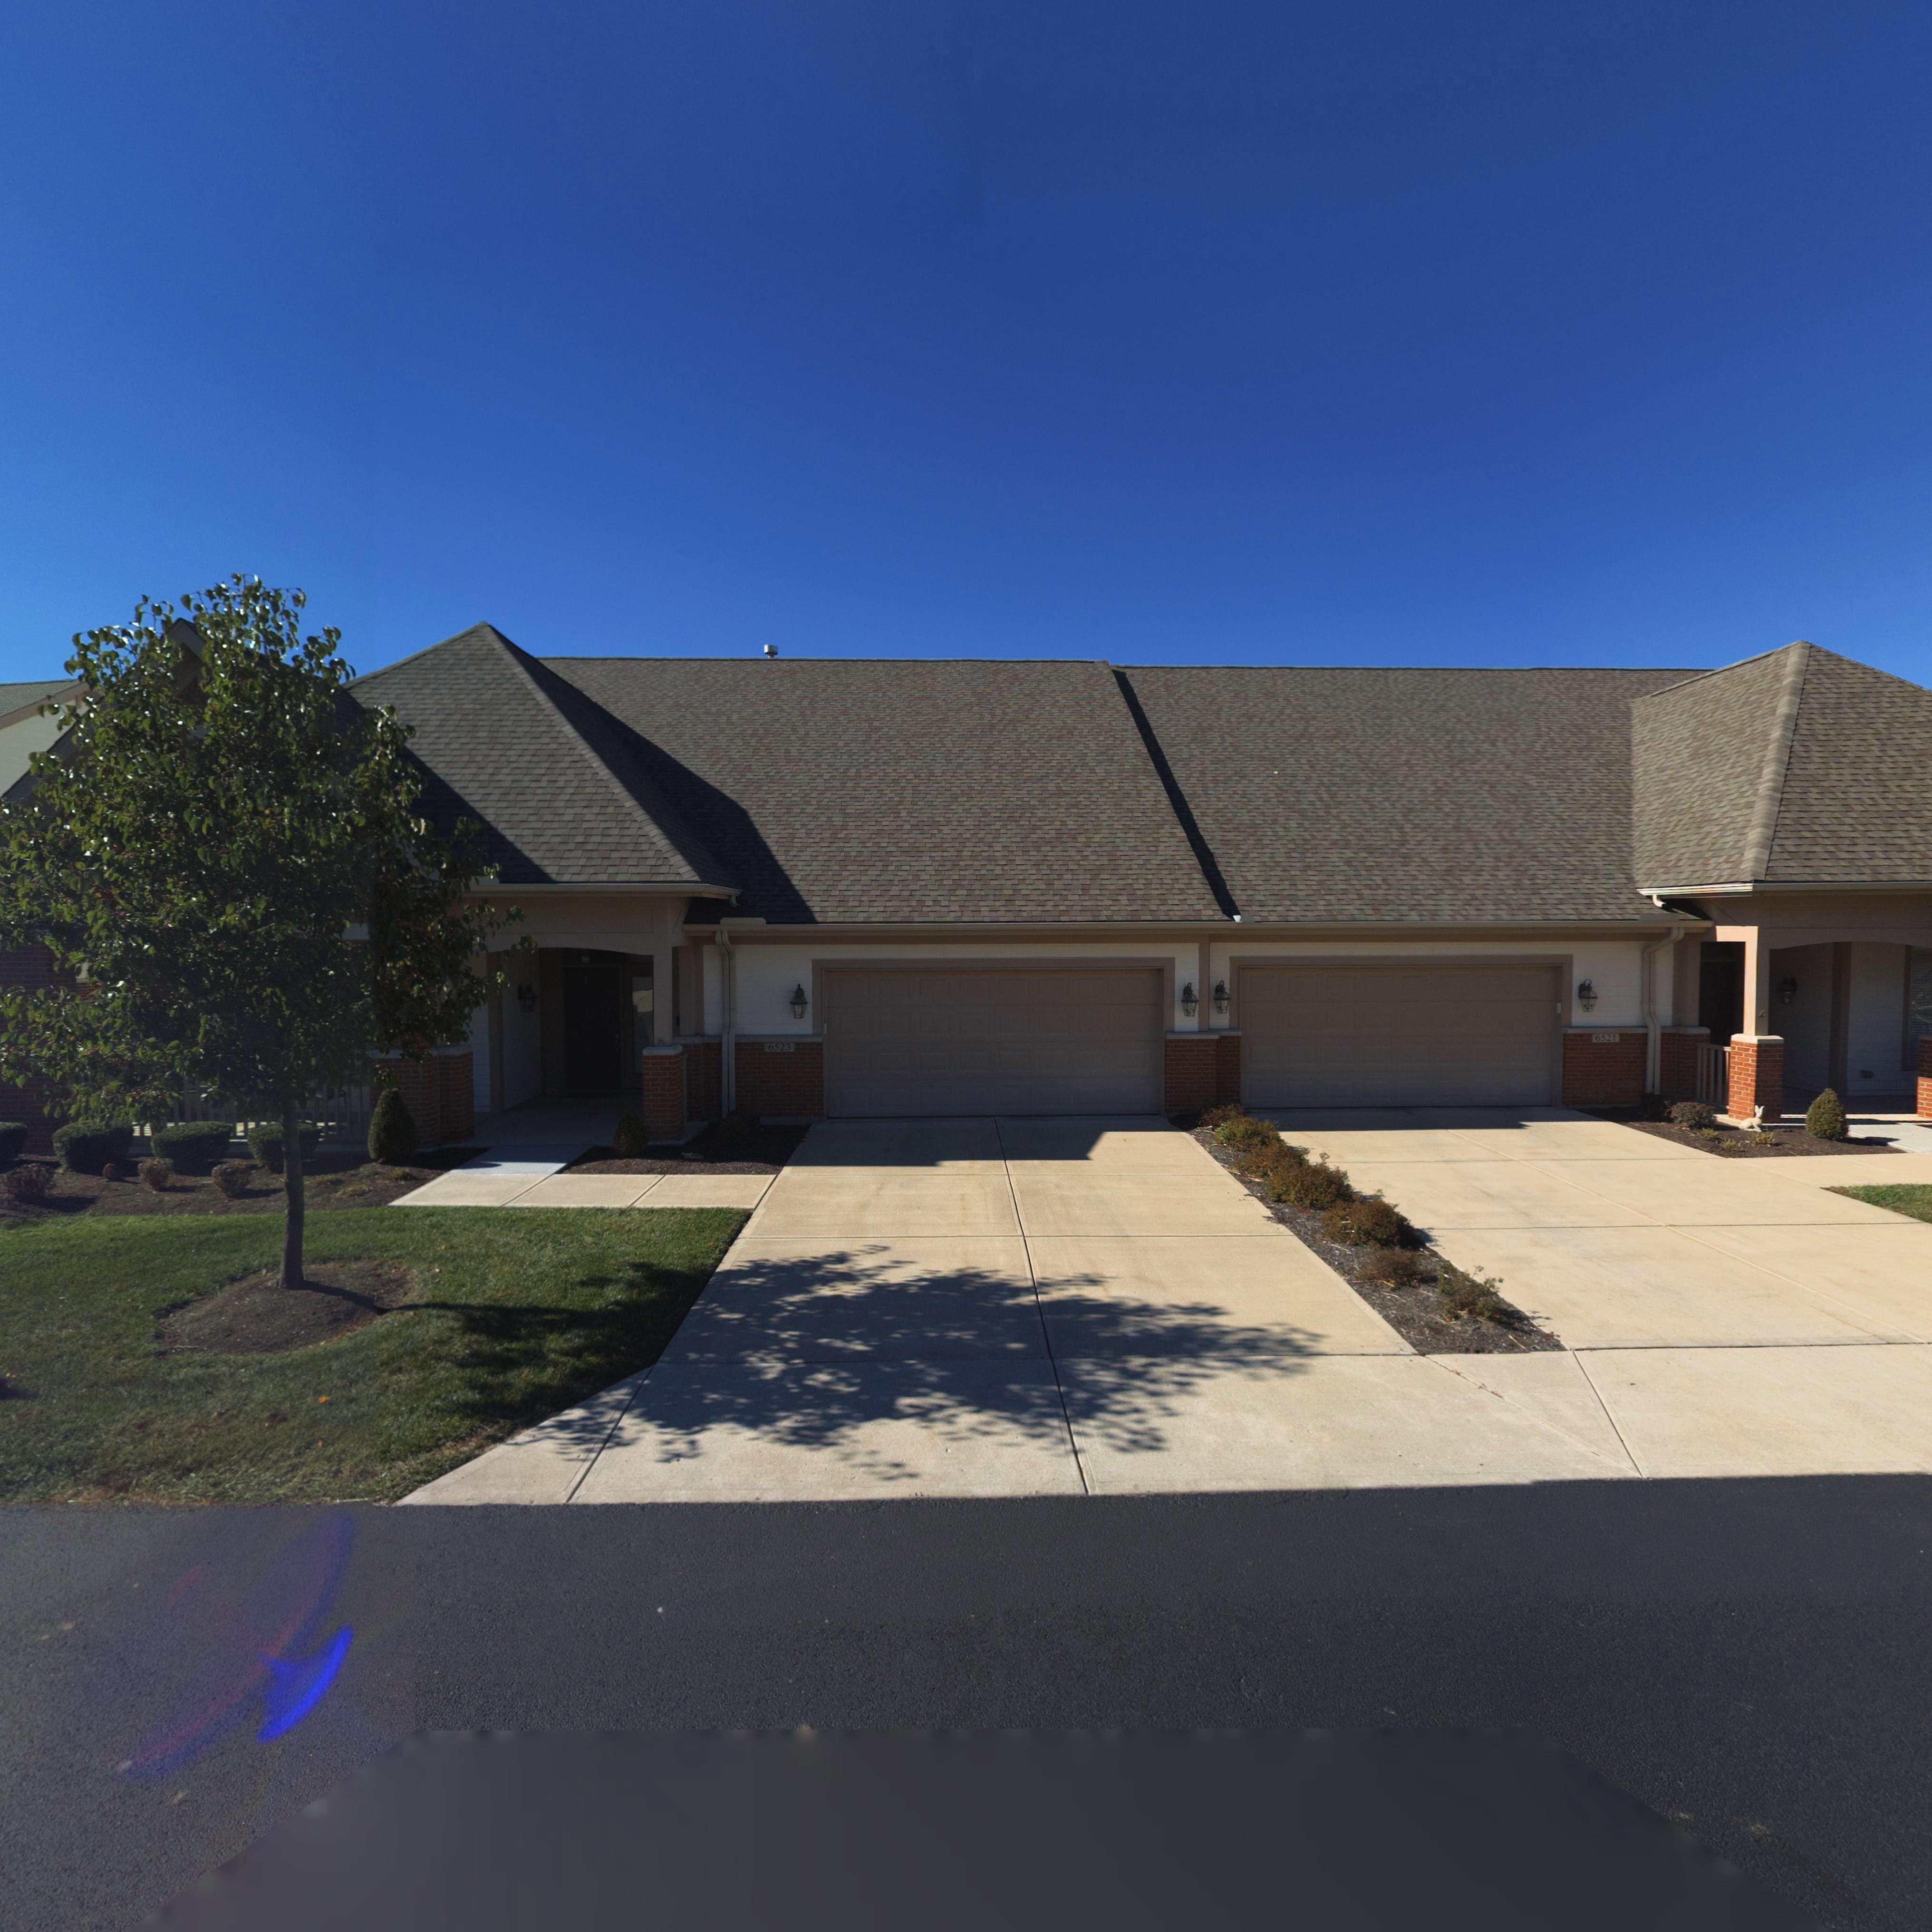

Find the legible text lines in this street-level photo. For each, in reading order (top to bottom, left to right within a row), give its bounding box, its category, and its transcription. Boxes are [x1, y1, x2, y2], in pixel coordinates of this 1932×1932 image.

[1594, 1033, 1616, 1042] StreetNumber: 6521
[768, 1043, 792, 1052] StreetNumber: 6523